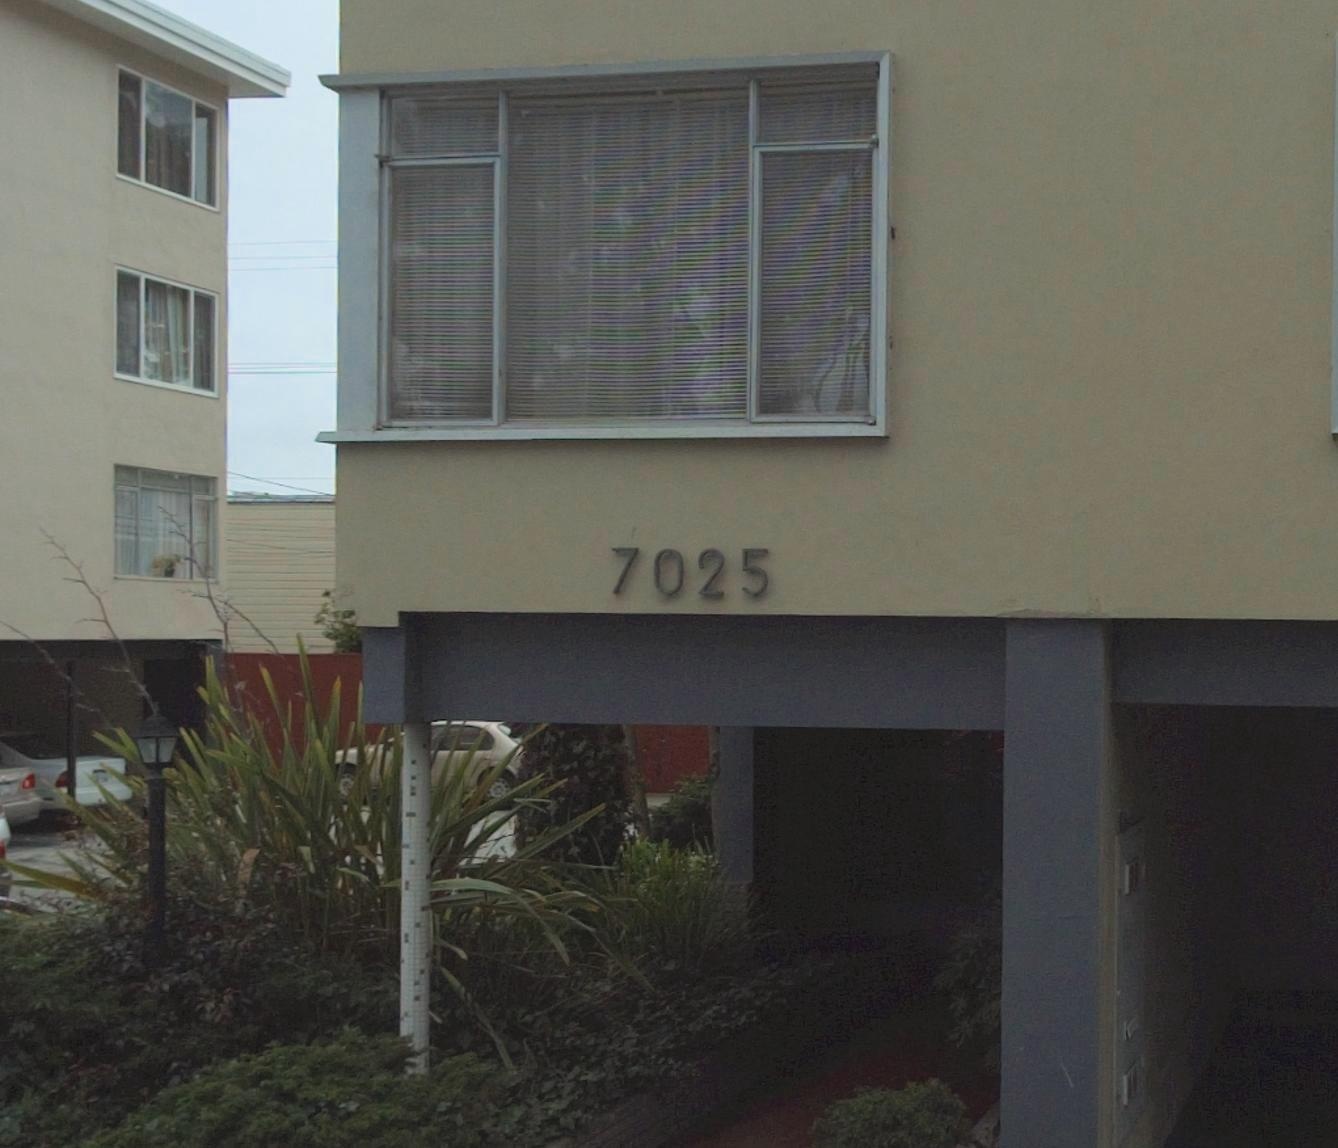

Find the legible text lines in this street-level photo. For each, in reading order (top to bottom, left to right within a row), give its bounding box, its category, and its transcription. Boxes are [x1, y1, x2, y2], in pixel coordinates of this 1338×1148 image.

[610, 545, 769, 599] StreetNumber: 7025